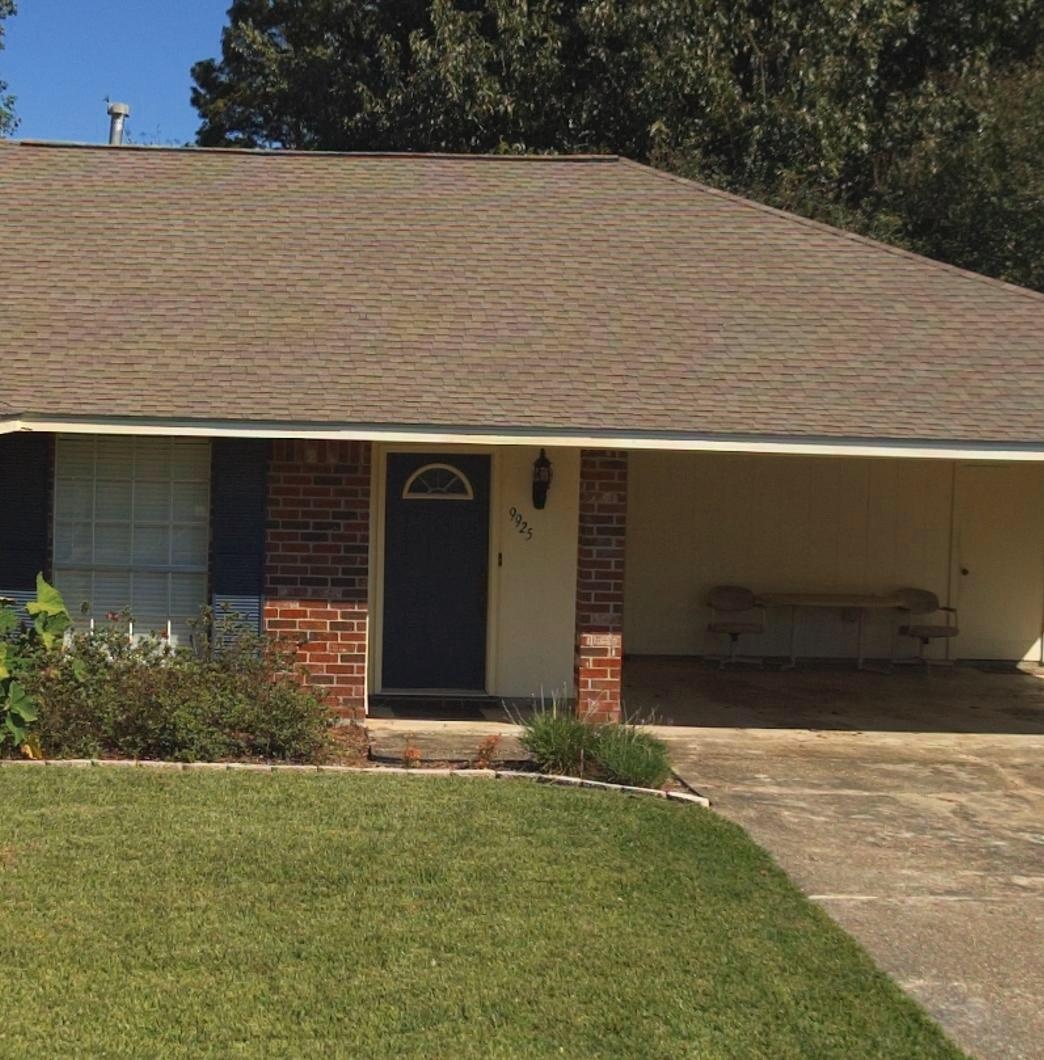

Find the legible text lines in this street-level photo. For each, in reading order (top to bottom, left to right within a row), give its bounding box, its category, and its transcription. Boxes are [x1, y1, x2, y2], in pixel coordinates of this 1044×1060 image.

[509, 506, 535, 547] StreetNumber: 9925